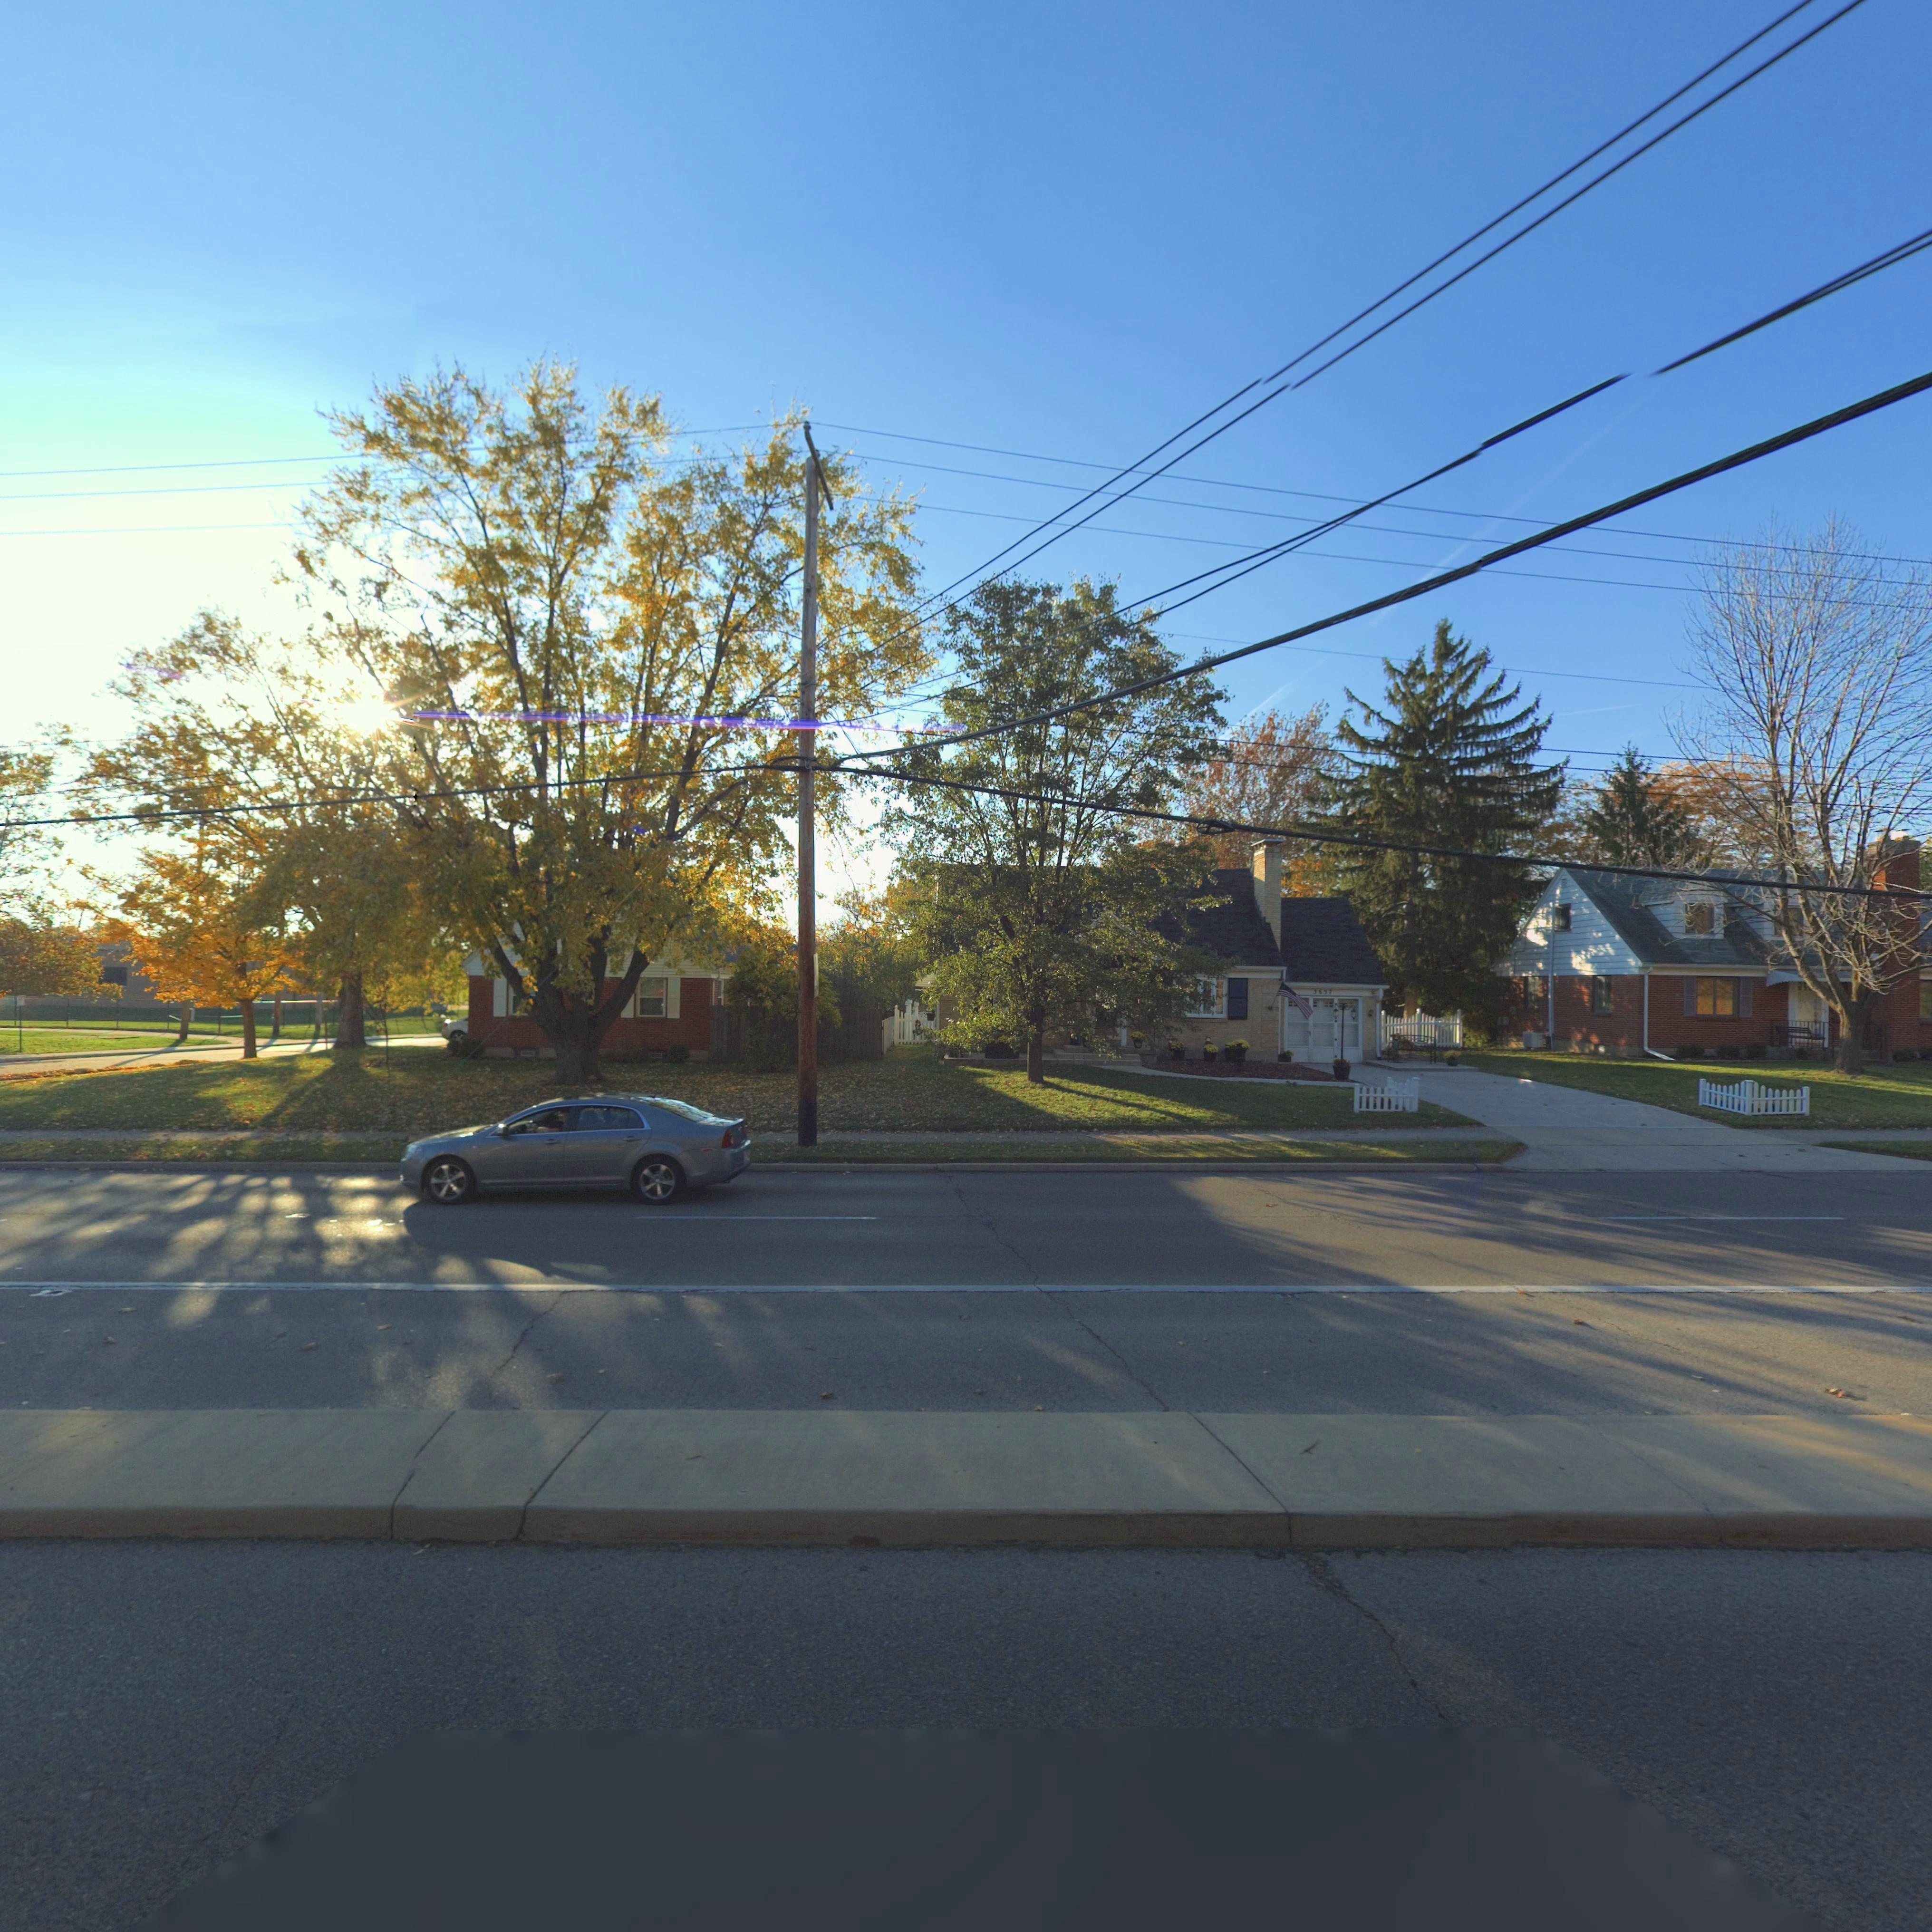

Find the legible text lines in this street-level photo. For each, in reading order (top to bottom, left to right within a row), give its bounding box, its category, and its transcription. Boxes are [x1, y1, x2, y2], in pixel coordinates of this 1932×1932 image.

[1313, 988, 1333, 994] StreetNumber: 3657